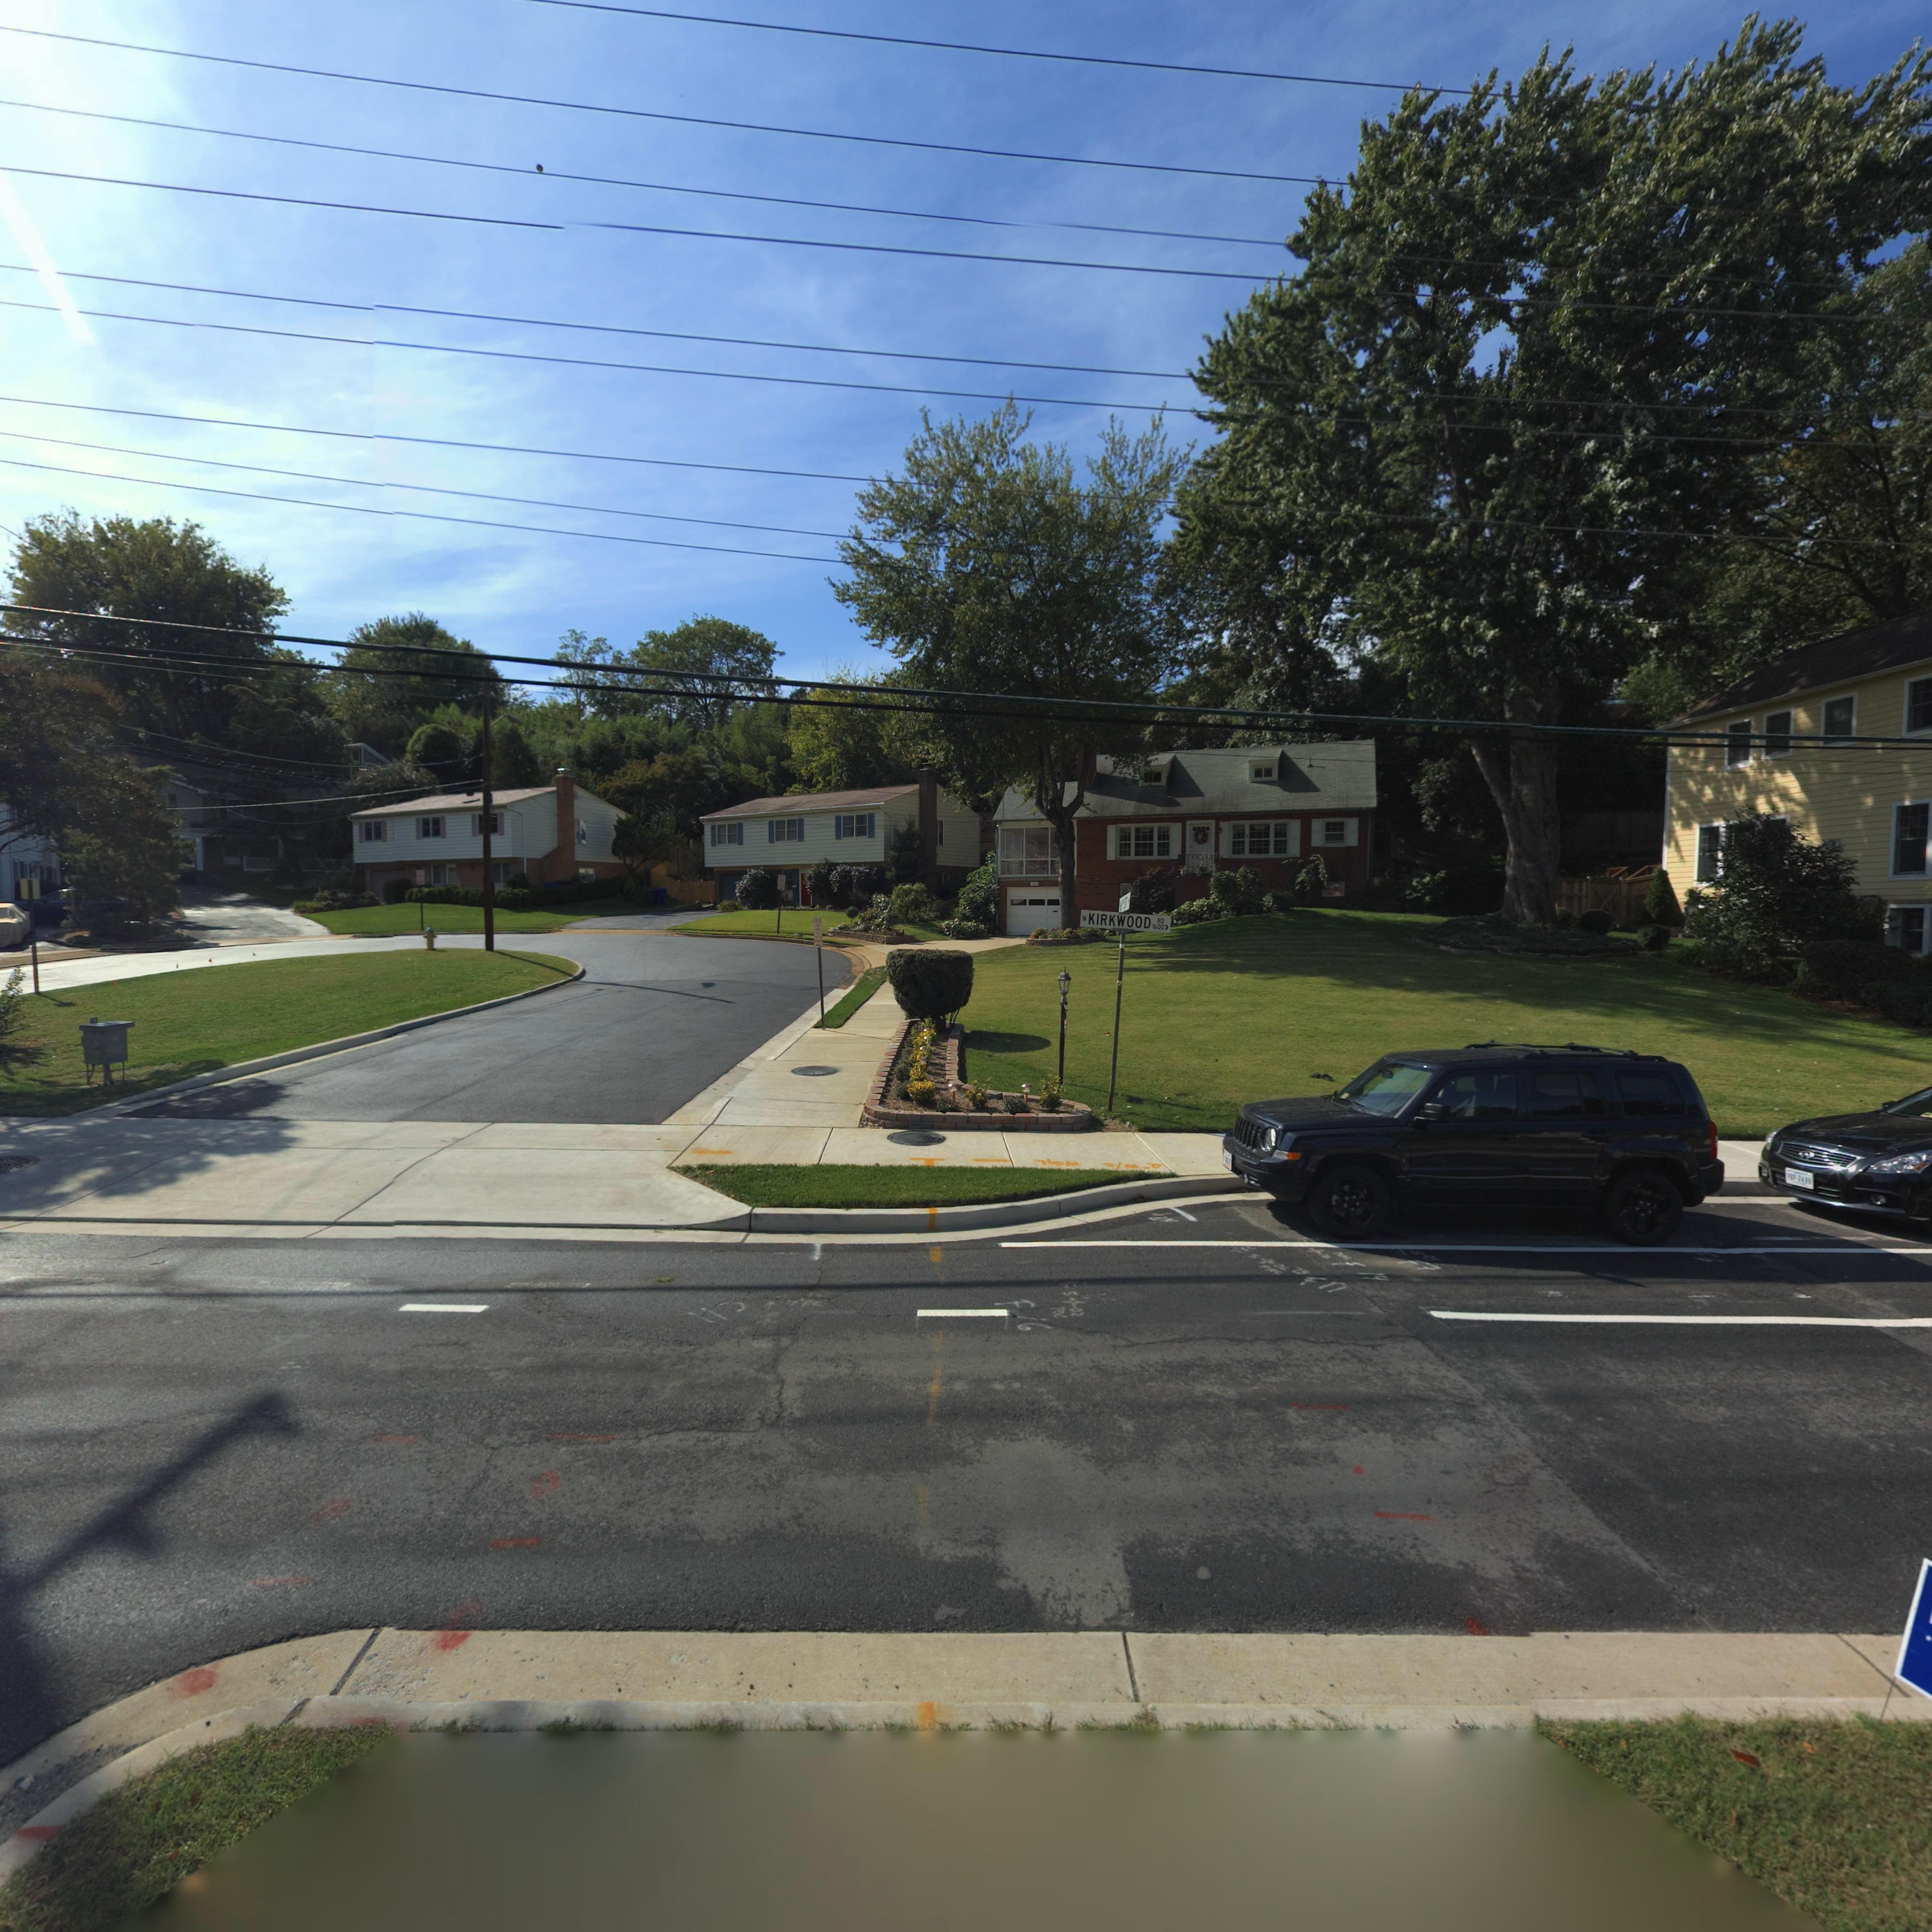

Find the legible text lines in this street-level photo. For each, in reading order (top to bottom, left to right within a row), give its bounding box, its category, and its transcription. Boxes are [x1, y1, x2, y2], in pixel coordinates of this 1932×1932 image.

[1081, 911, 1165, 930] StreetName: N KIRKWOOD RD
[1151, 922, 1171, 931] StreetNumberRange: 1600->